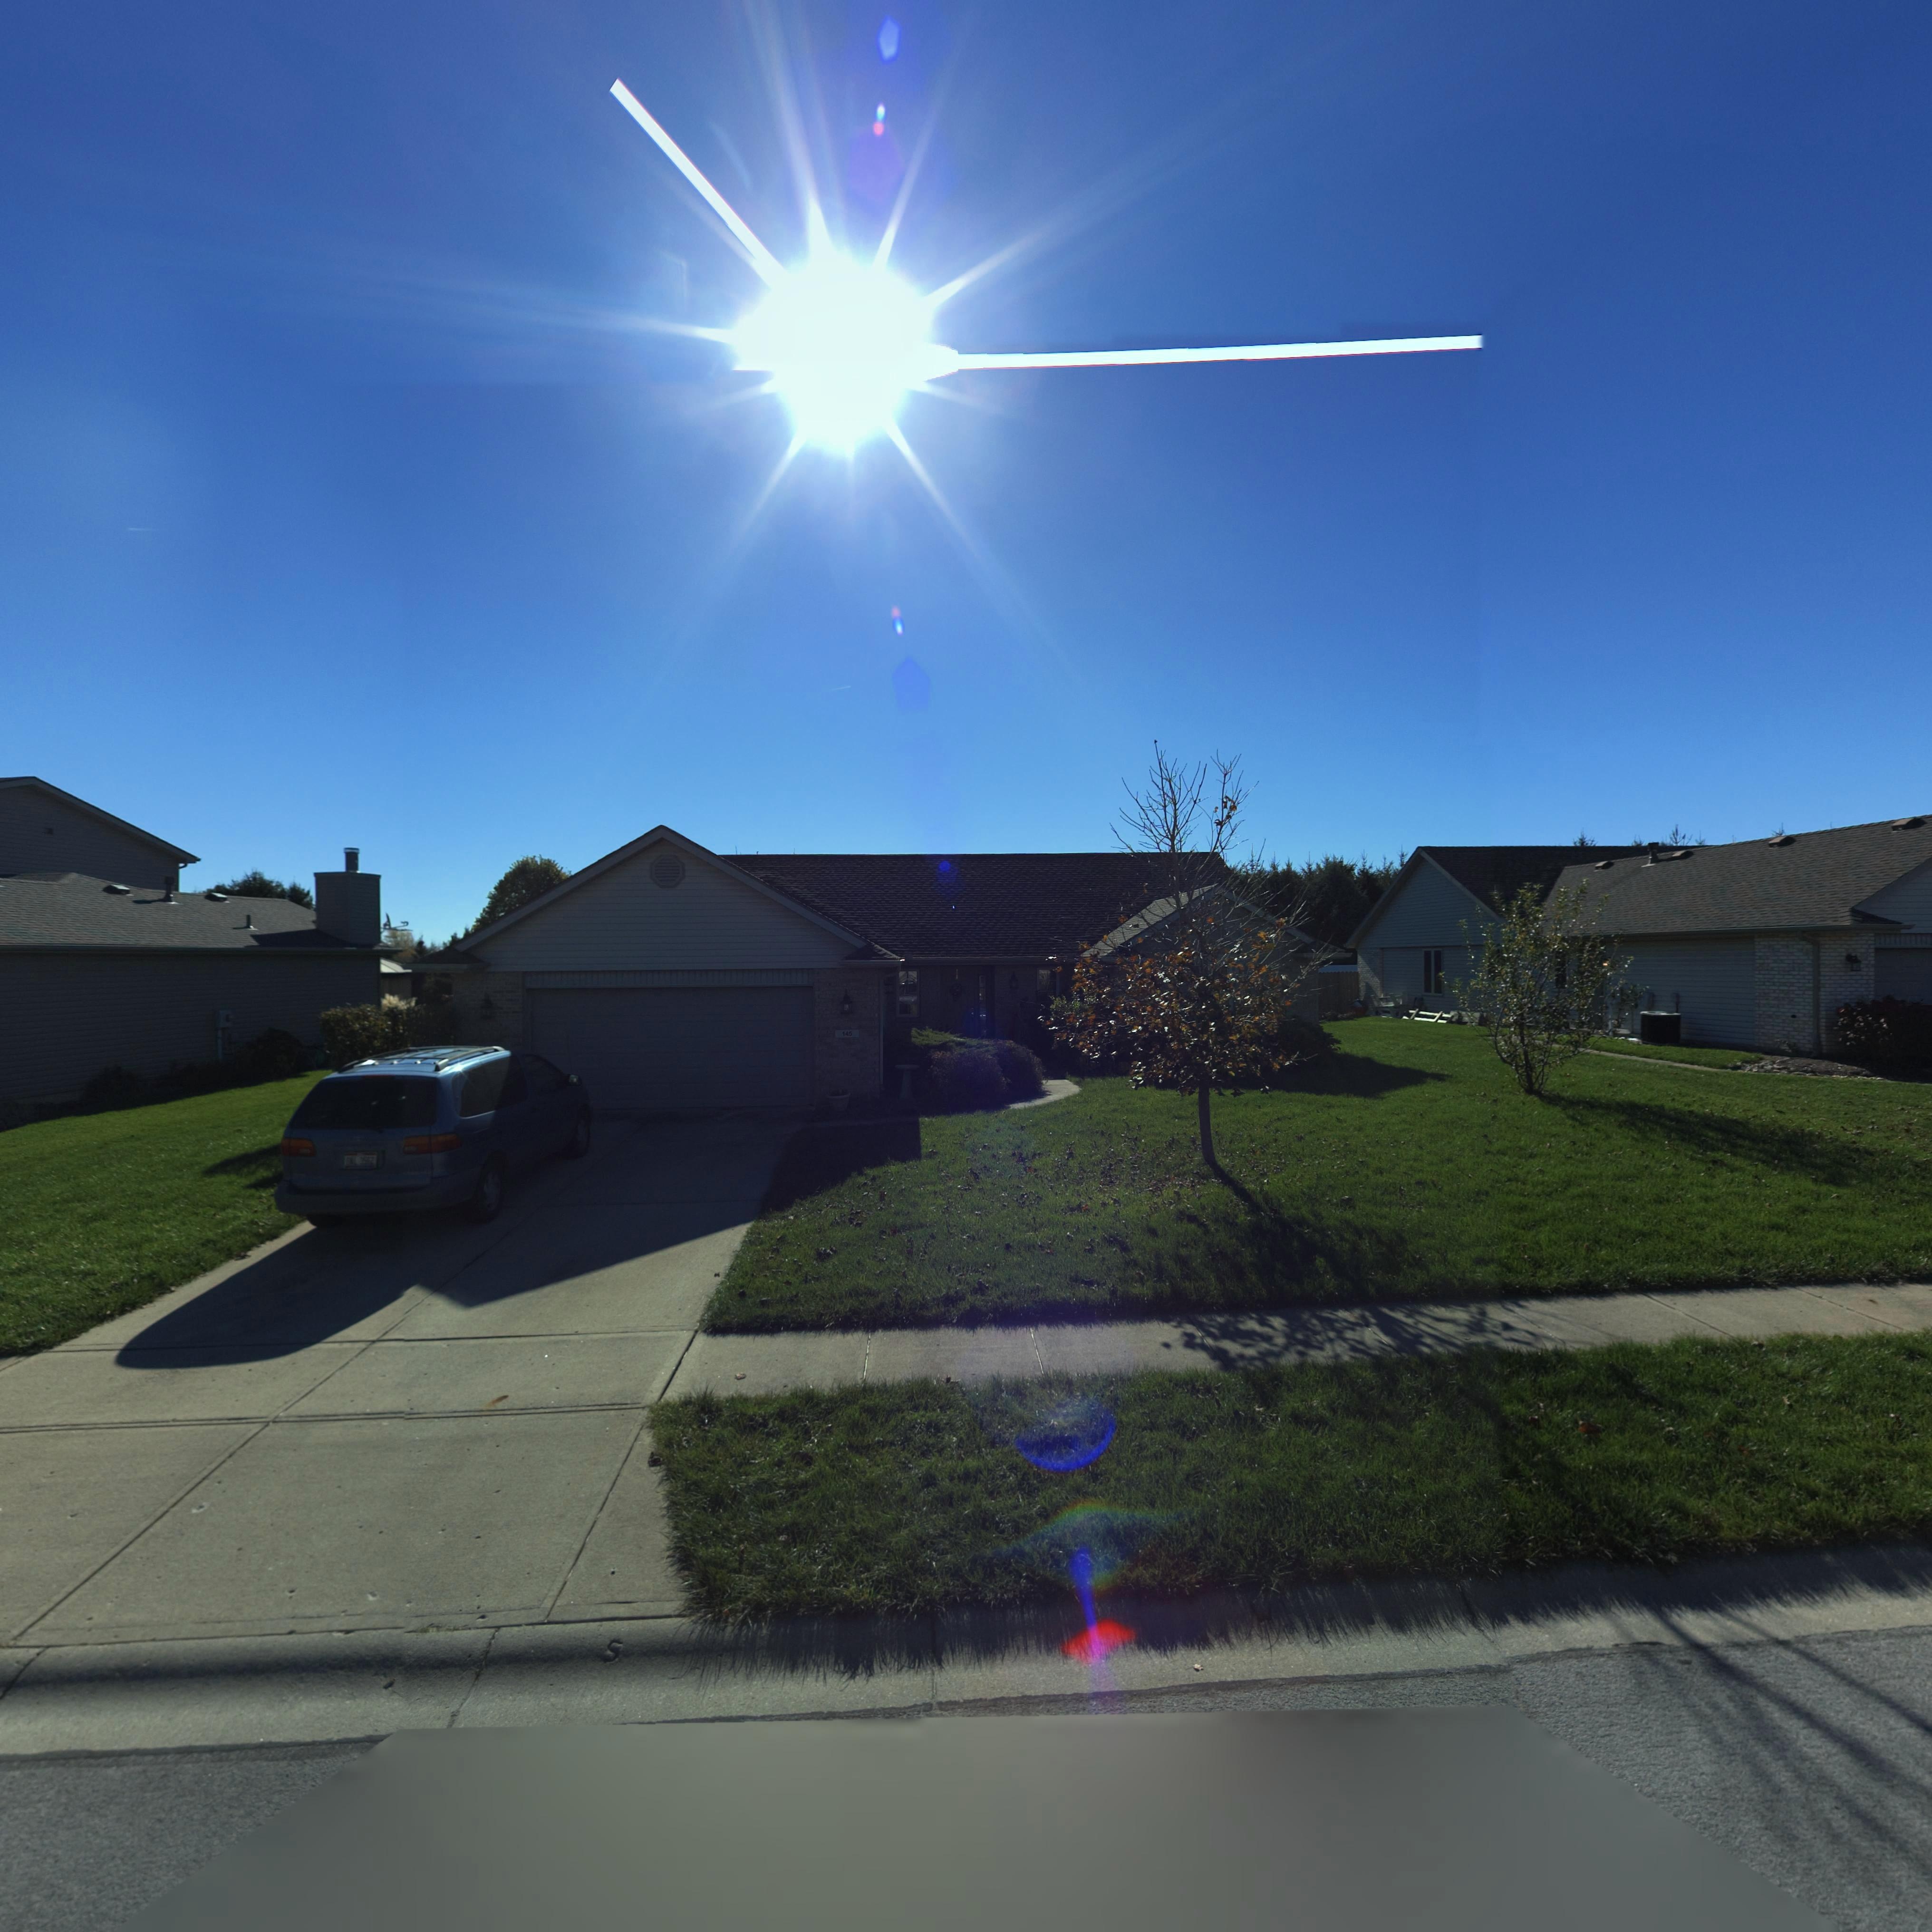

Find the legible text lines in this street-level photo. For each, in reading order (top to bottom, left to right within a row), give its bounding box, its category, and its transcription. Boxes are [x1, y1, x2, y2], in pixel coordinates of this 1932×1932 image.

[842, 1031, 852, 1036] StreetNumber: 145